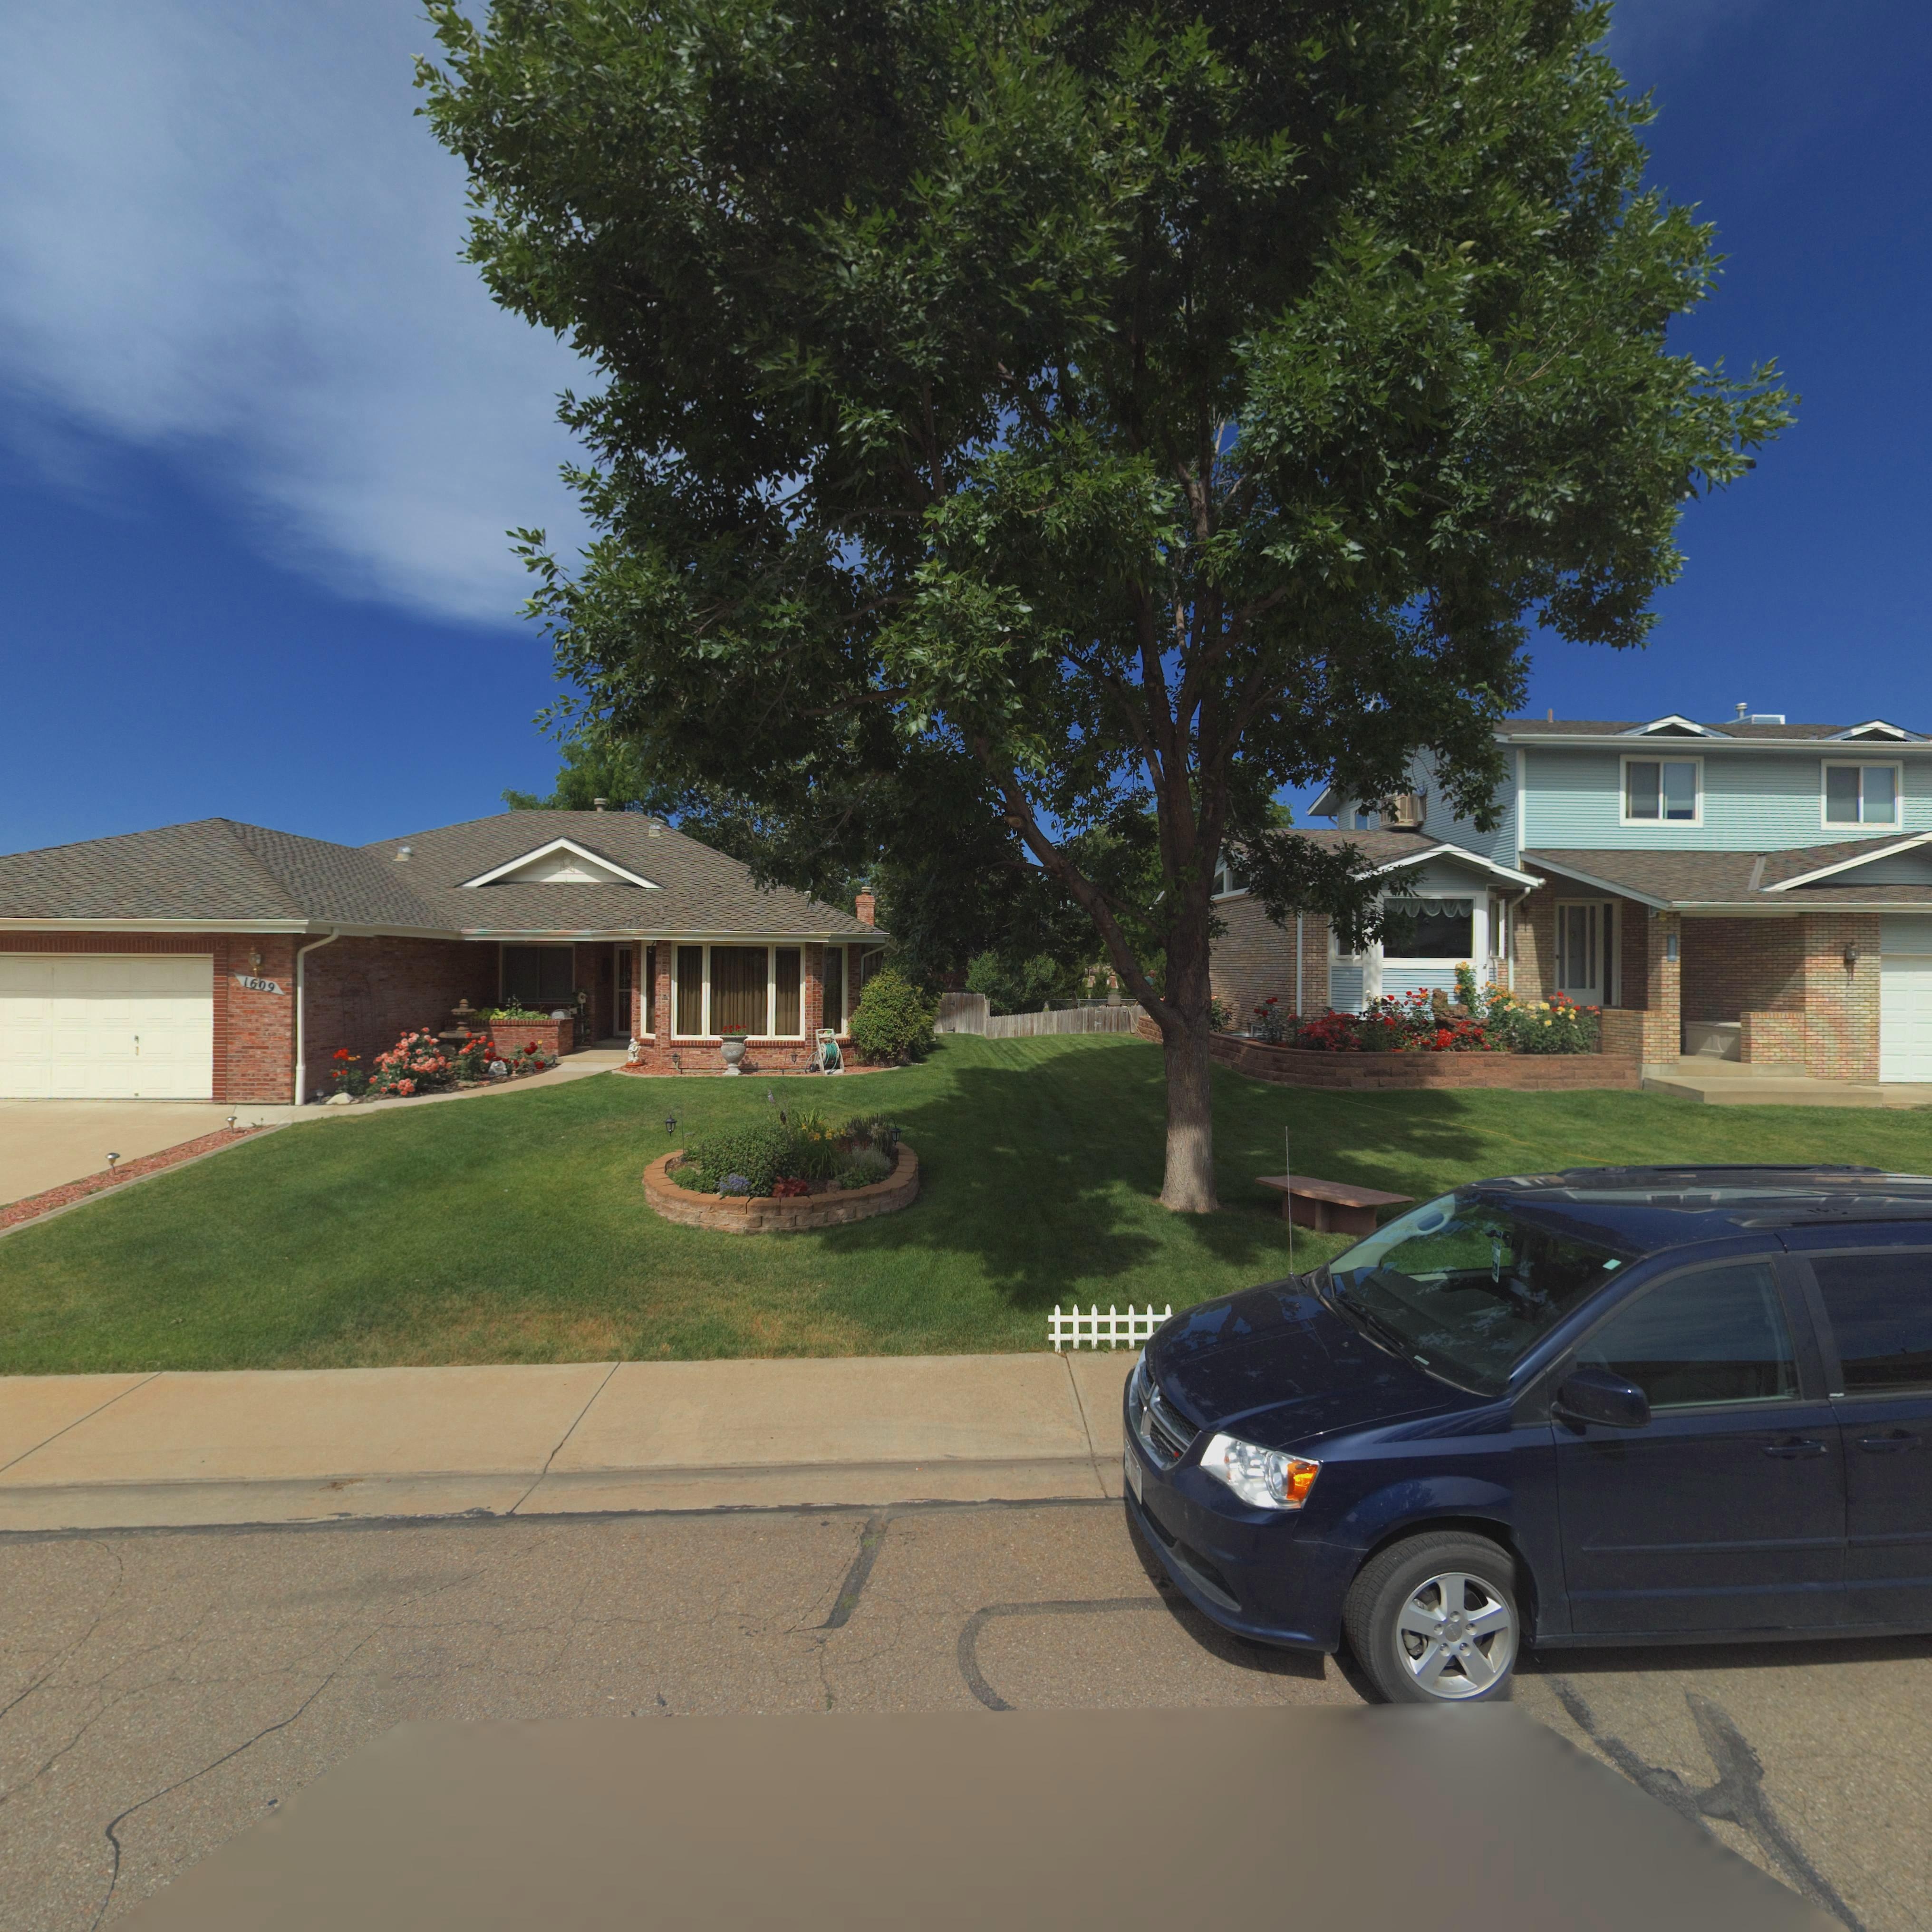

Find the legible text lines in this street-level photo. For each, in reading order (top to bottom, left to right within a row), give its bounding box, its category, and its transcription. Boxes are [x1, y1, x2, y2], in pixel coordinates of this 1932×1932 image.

[243, 976, 275, 993] StreetNumber: 1609